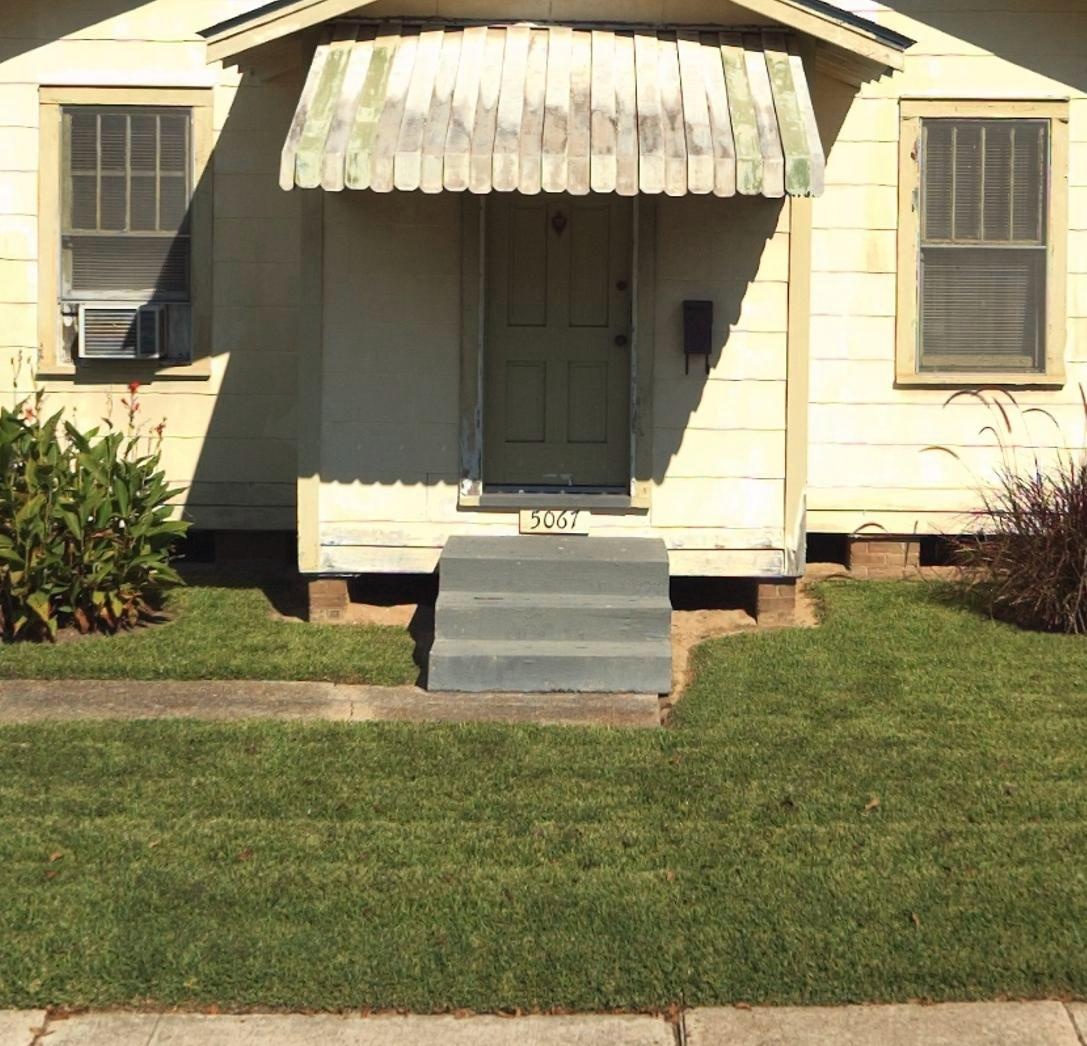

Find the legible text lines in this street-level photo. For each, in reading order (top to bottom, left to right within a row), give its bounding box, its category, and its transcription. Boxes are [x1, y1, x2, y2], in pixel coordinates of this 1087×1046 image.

[529, 509, 580, 530] StreetNumber: 5067